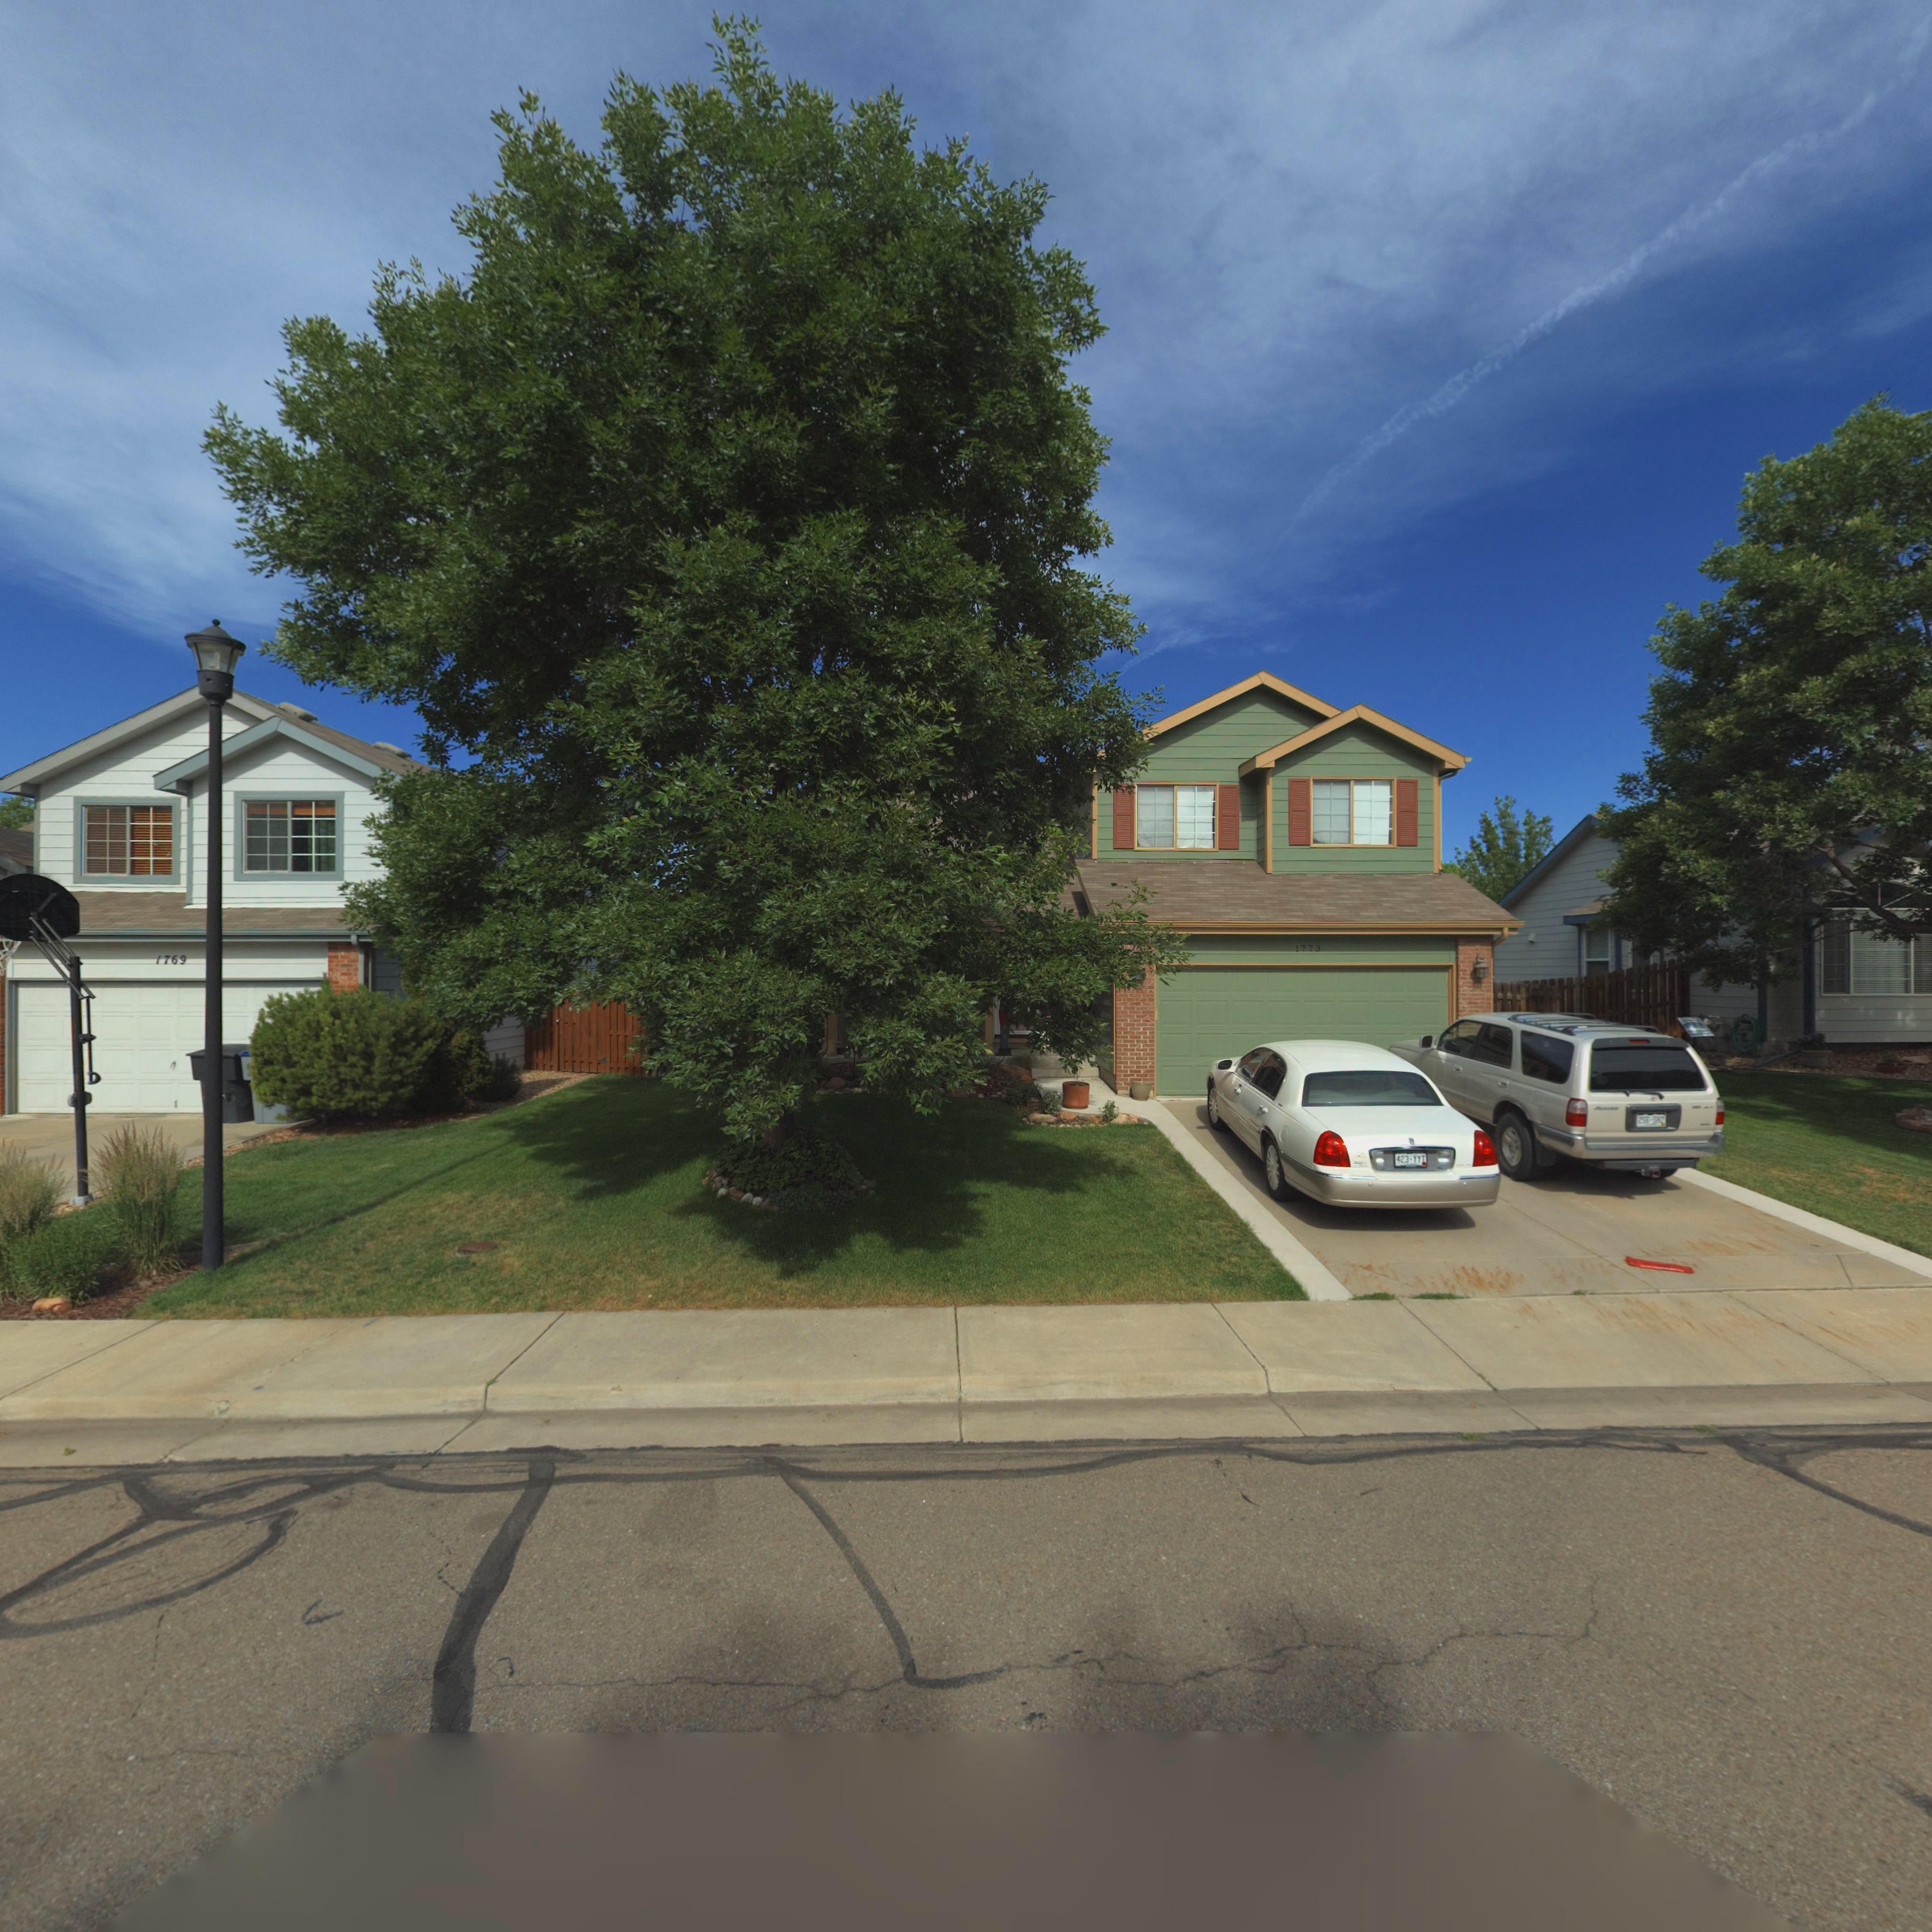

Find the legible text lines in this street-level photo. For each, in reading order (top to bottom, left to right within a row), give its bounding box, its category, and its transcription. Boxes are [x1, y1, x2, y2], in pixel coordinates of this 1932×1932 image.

[1295, 944, 1321, 952] StreetNumber: 1773
[155, 954, 187, 965] StreetNumber: 1769